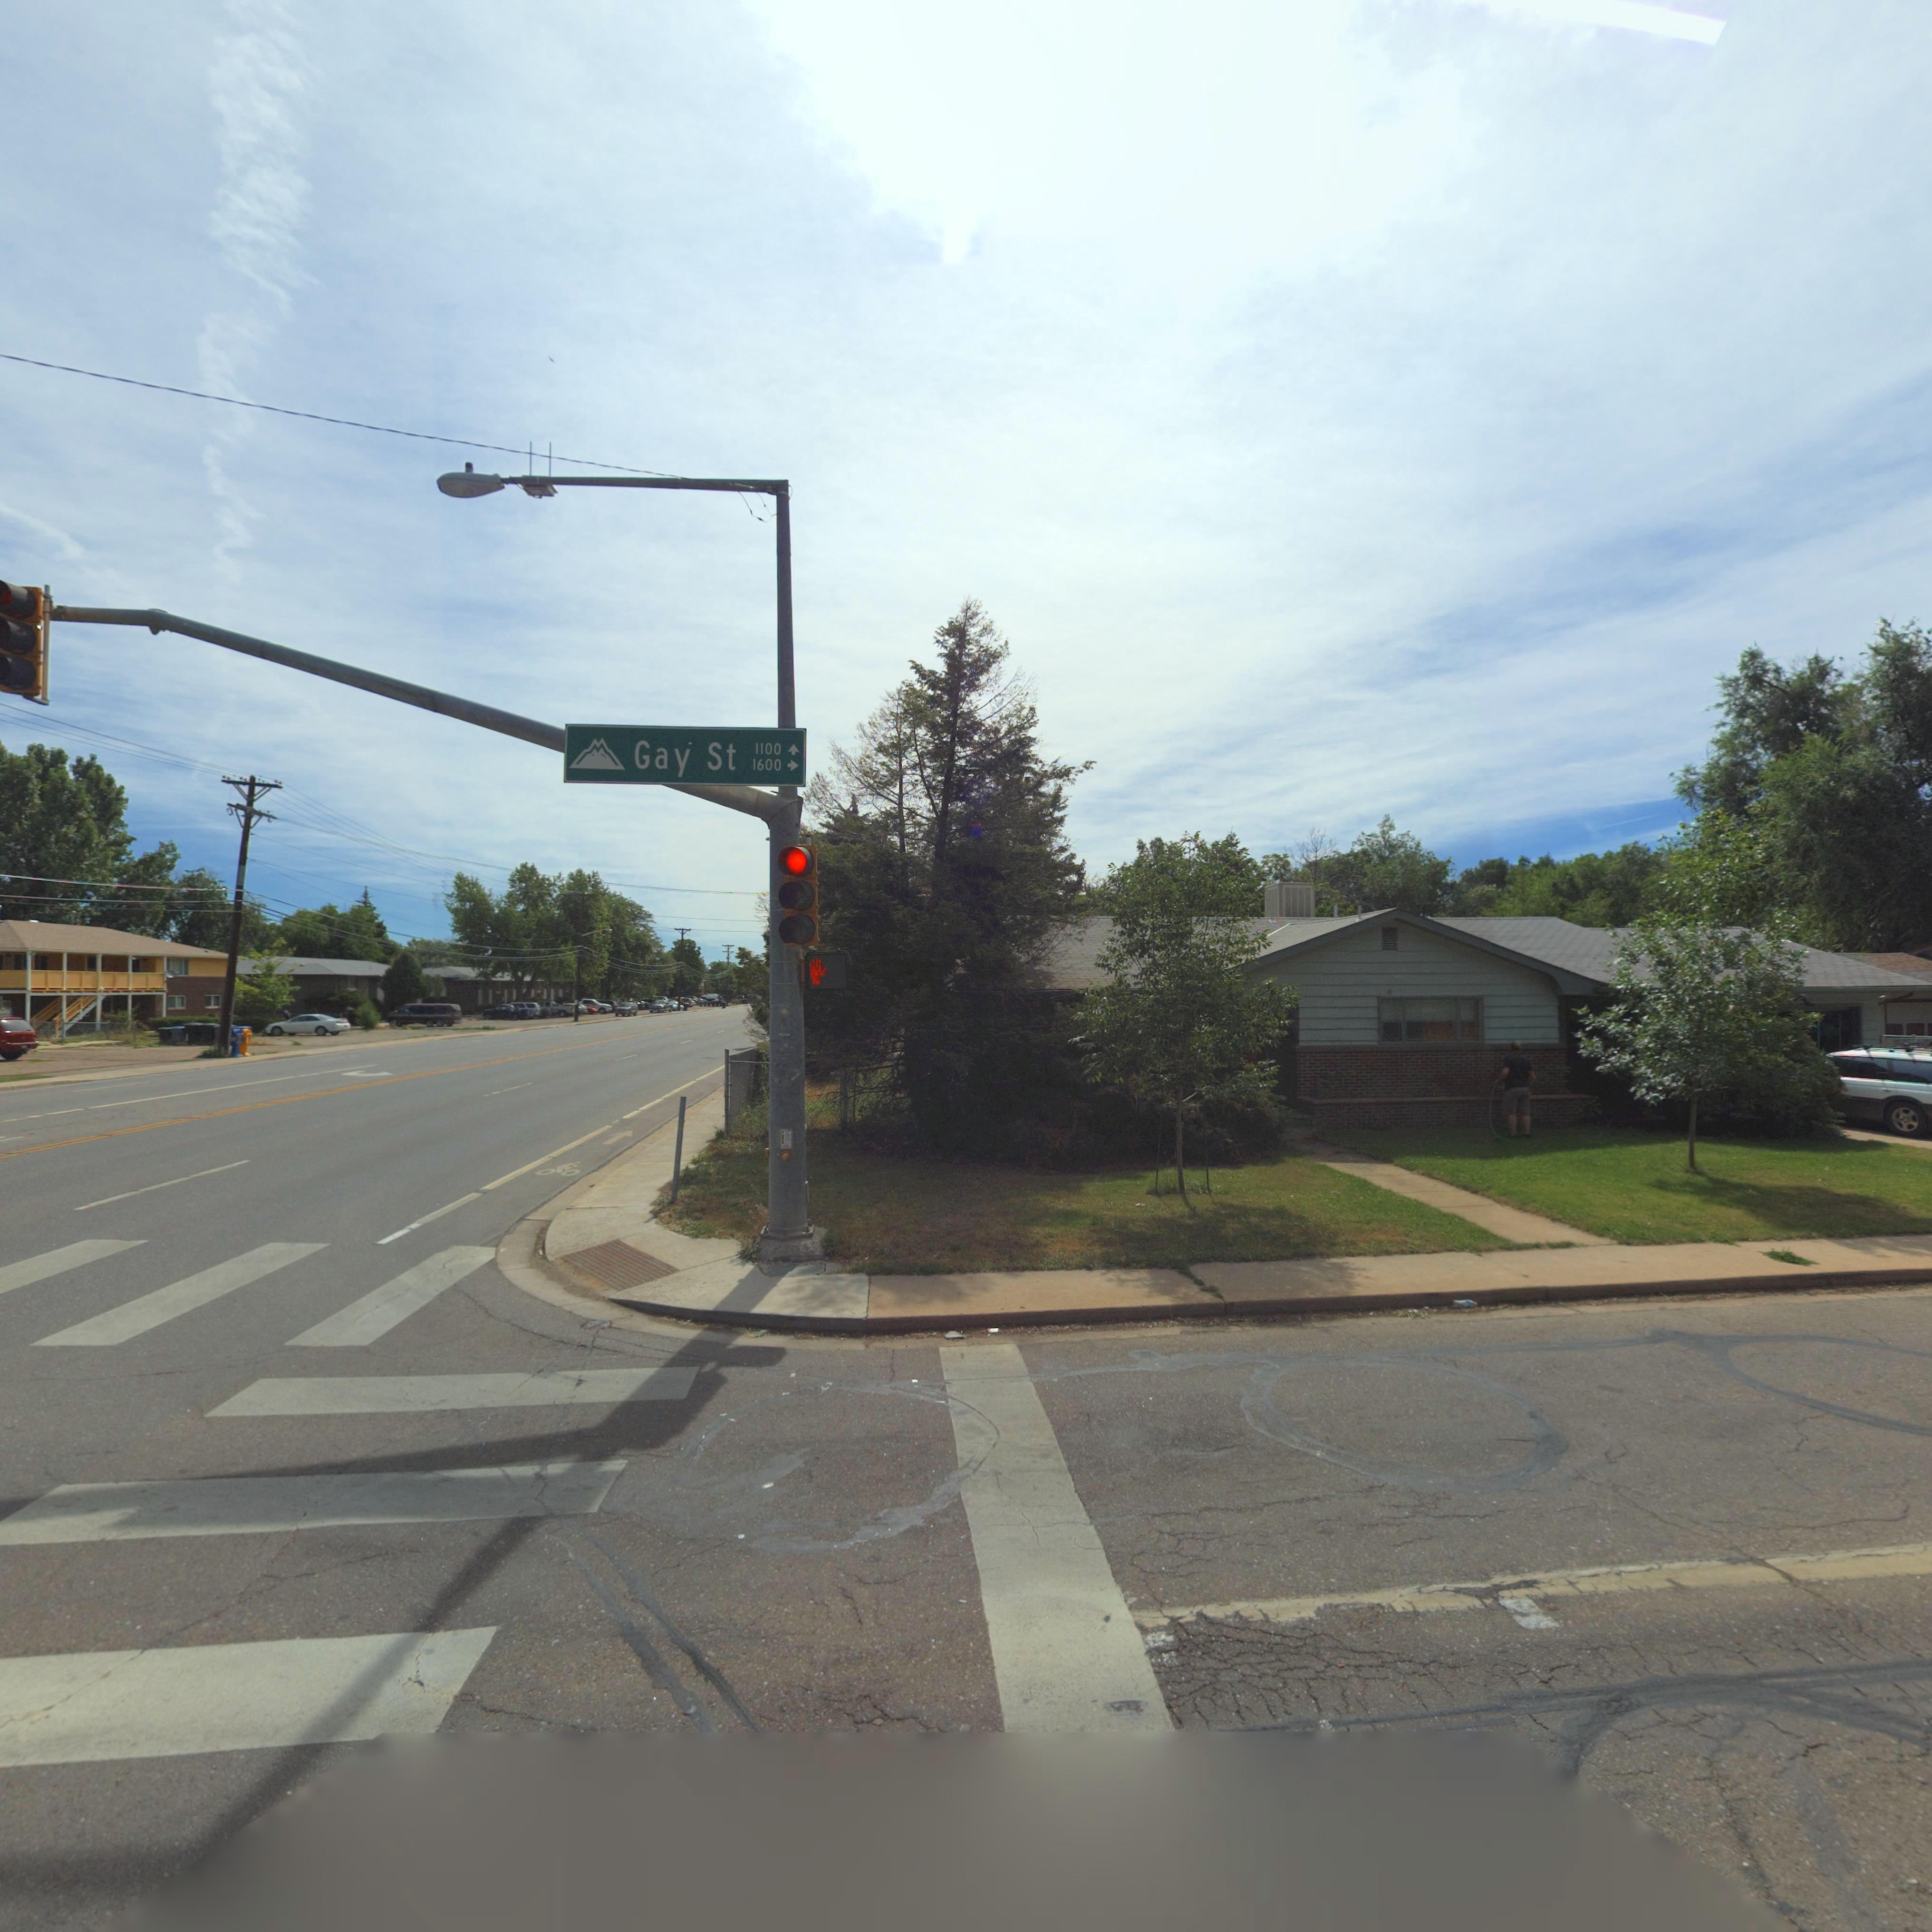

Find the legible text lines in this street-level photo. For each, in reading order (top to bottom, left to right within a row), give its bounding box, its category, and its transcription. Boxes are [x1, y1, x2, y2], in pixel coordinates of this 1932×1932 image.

[755, 742, 782, 755] StreetNumberRange: 1100
[634, 739, 737, 778] StreetName: Gay St
[752, 757, 800, 772] StreetNumberRange: 1600->